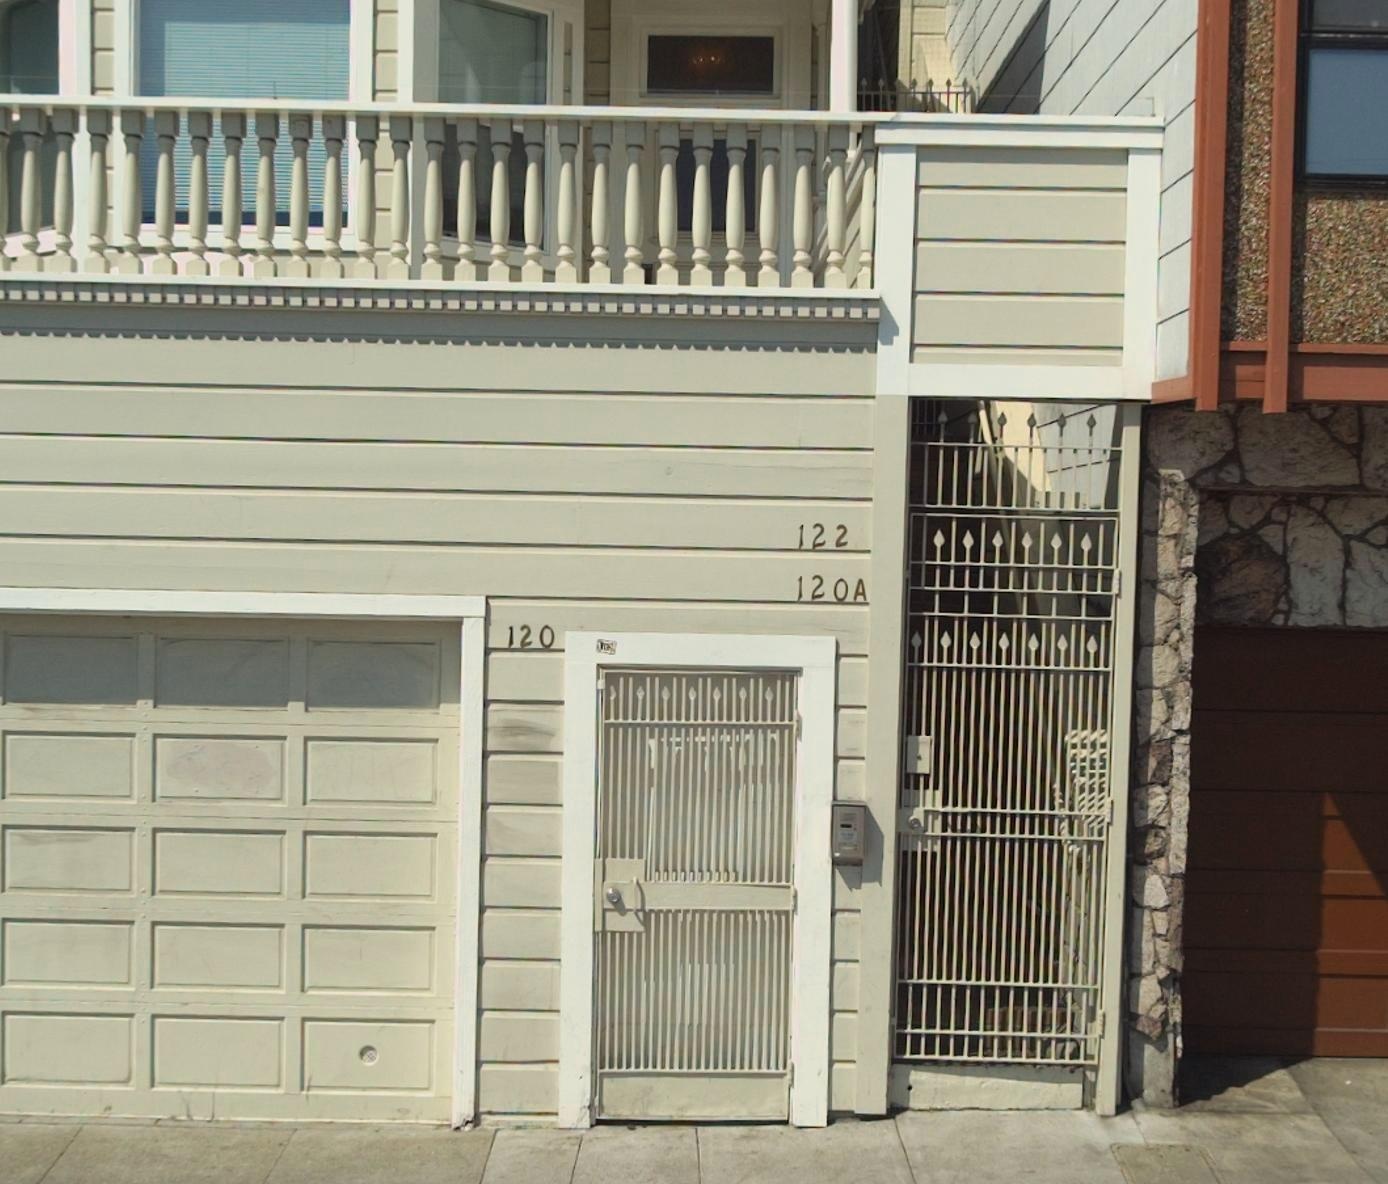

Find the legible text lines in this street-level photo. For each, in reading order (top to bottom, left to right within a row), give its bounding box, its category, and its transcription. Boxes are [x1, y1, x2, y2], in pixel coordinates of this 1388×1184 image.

[797, 523, 851, 550] StreetNumber: 122
[795, 574, 868, 602] StreetNumber: 120A
[507, 623, 557, 649] StreetNumber: 120